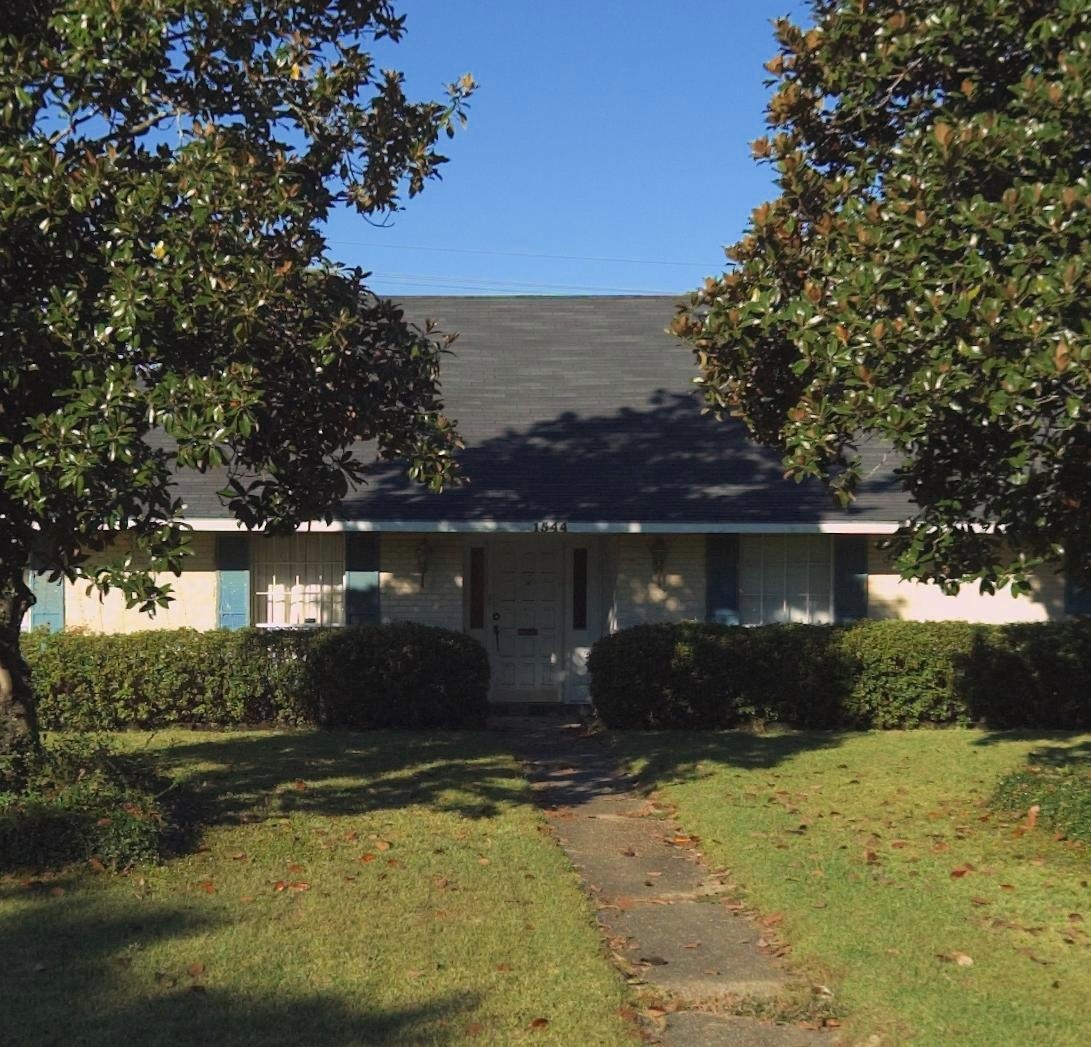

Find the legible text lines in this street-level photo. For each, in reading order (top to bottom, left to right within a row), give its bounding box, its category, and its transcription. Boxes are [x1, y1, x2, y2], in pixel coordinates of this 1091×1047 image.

[531, 519, 570, 535] StreetNumber: 1544